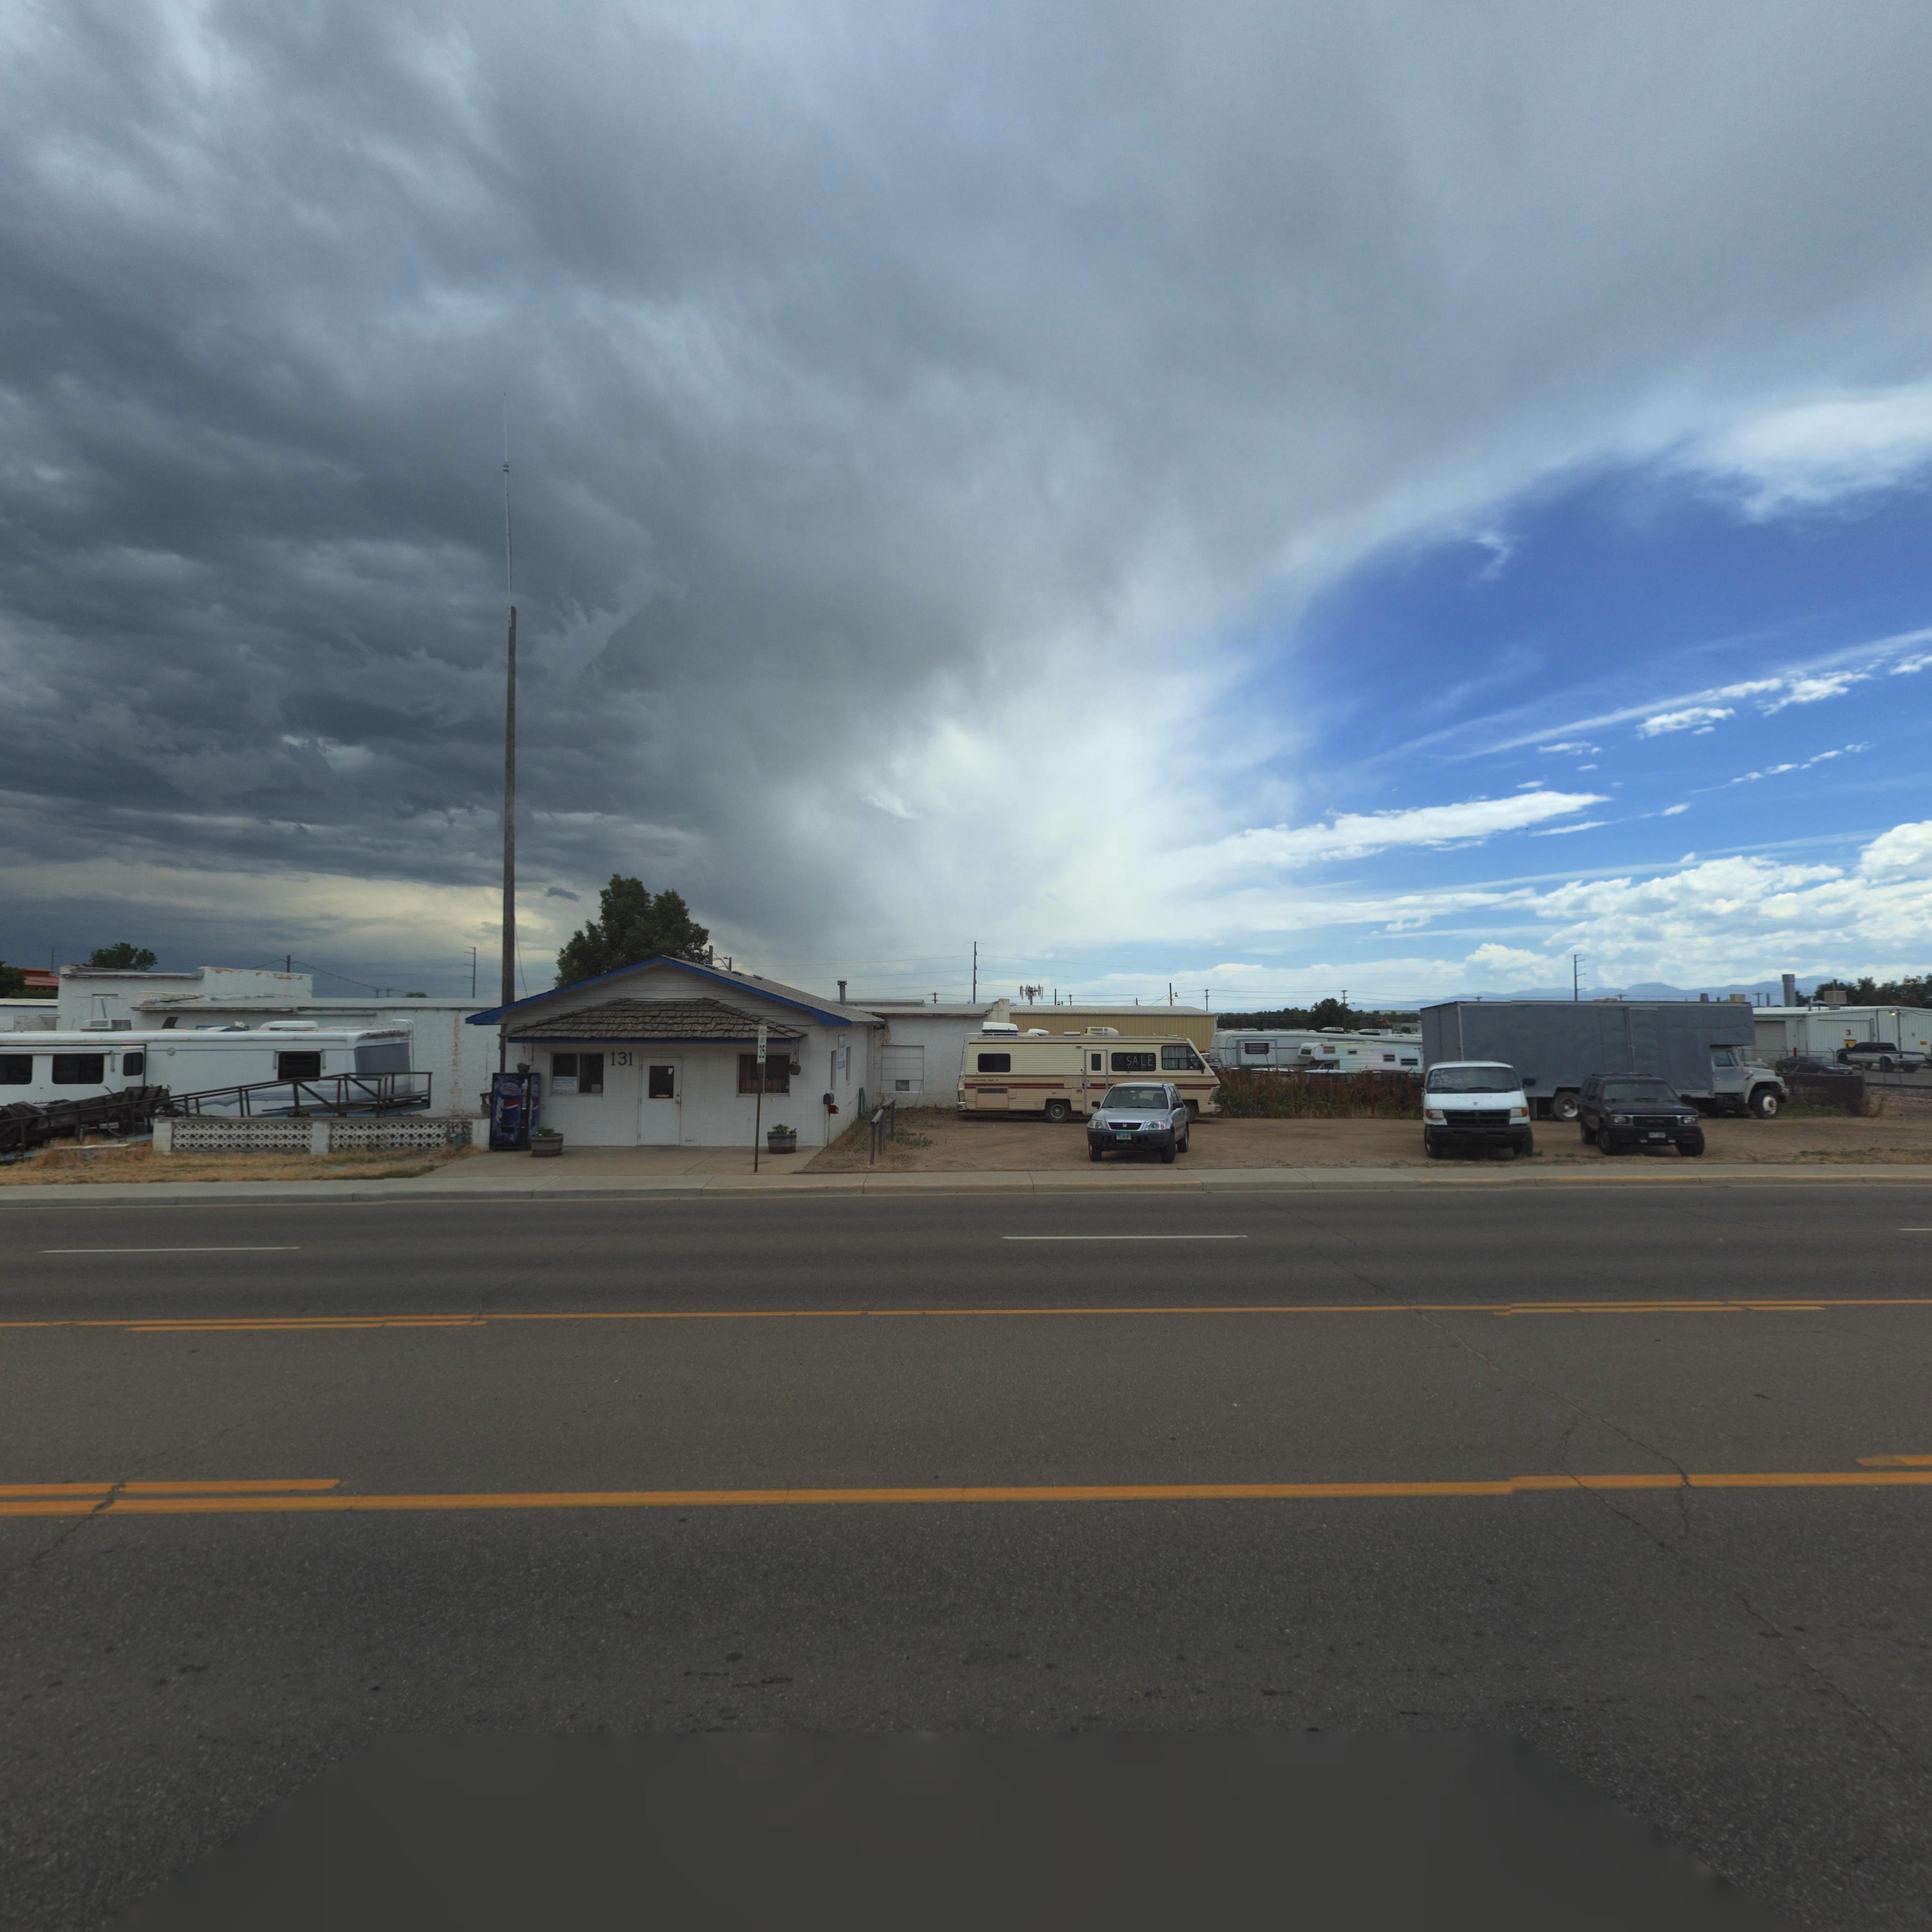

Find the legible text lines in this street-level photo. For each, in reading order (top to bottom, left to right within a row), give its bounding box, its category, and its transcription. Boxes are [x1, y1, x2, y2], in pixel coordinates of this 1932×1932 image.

[611, 1051, 633, 1066] StreetNumber: 131